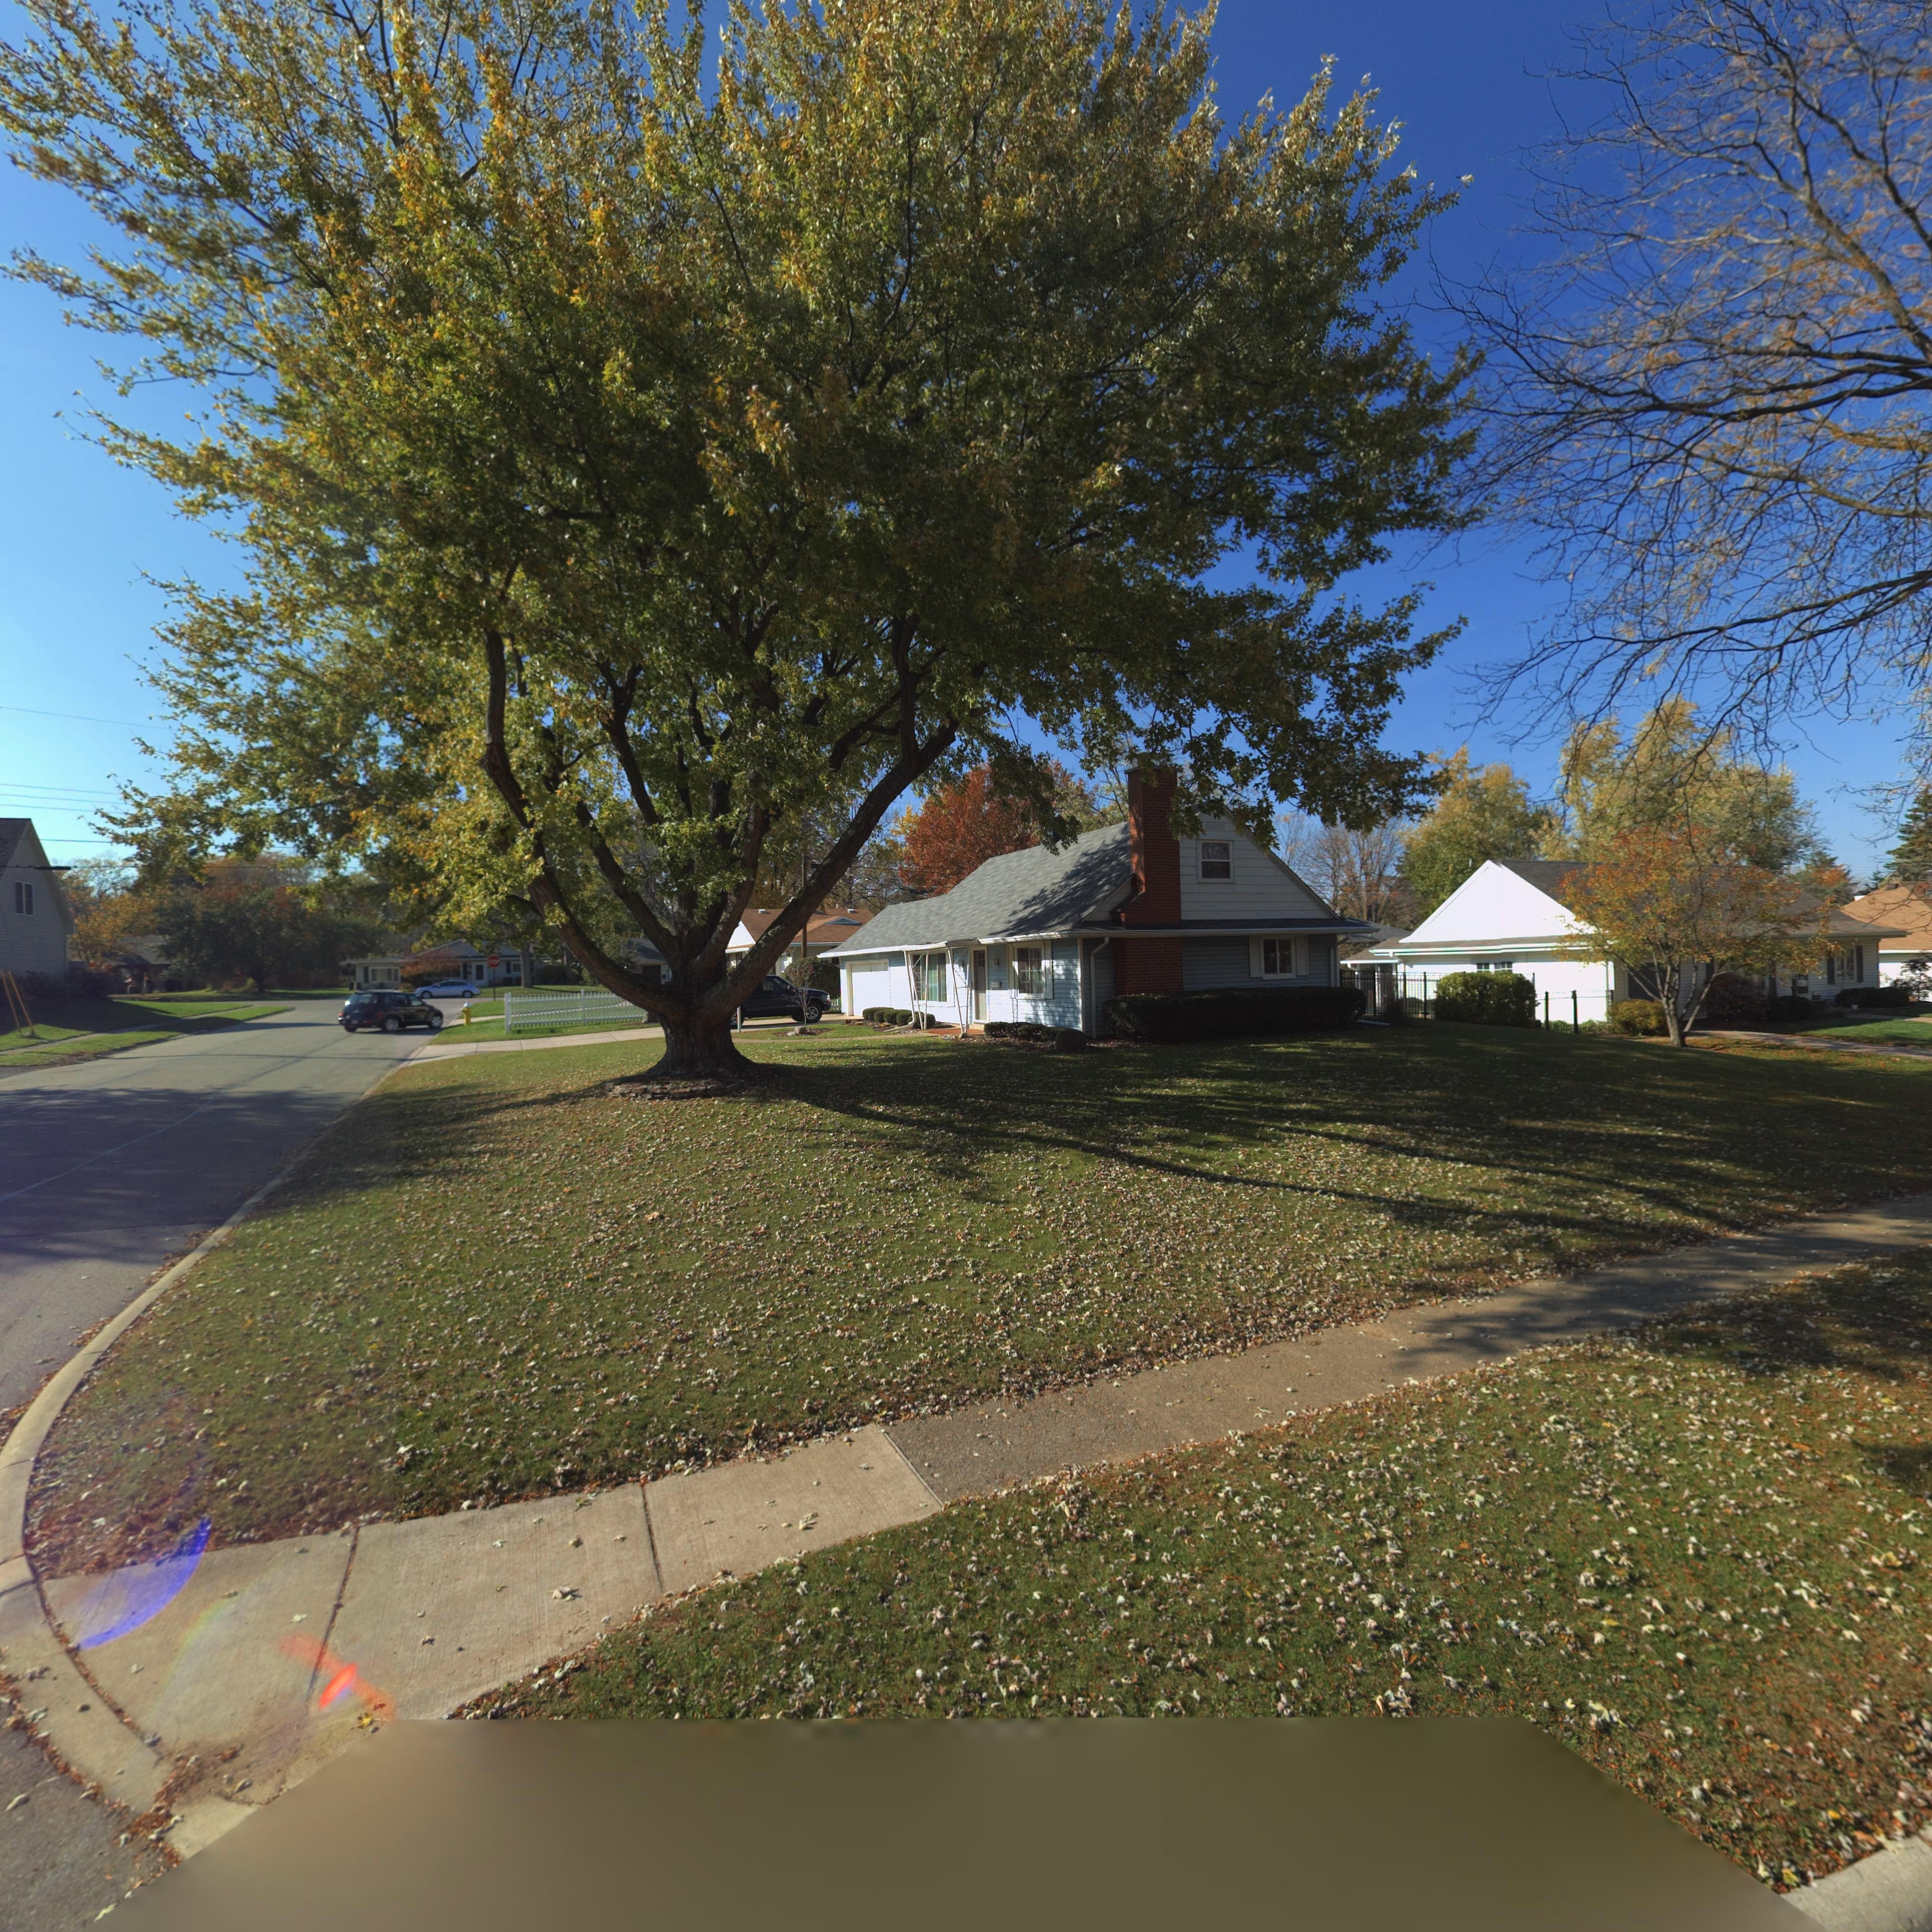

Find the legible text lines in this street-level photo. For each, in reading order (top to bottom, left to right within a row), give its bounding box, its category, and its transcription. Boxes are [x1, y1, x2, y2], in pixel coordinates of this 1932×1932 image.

[488, 959, 501, 964] None: STOP